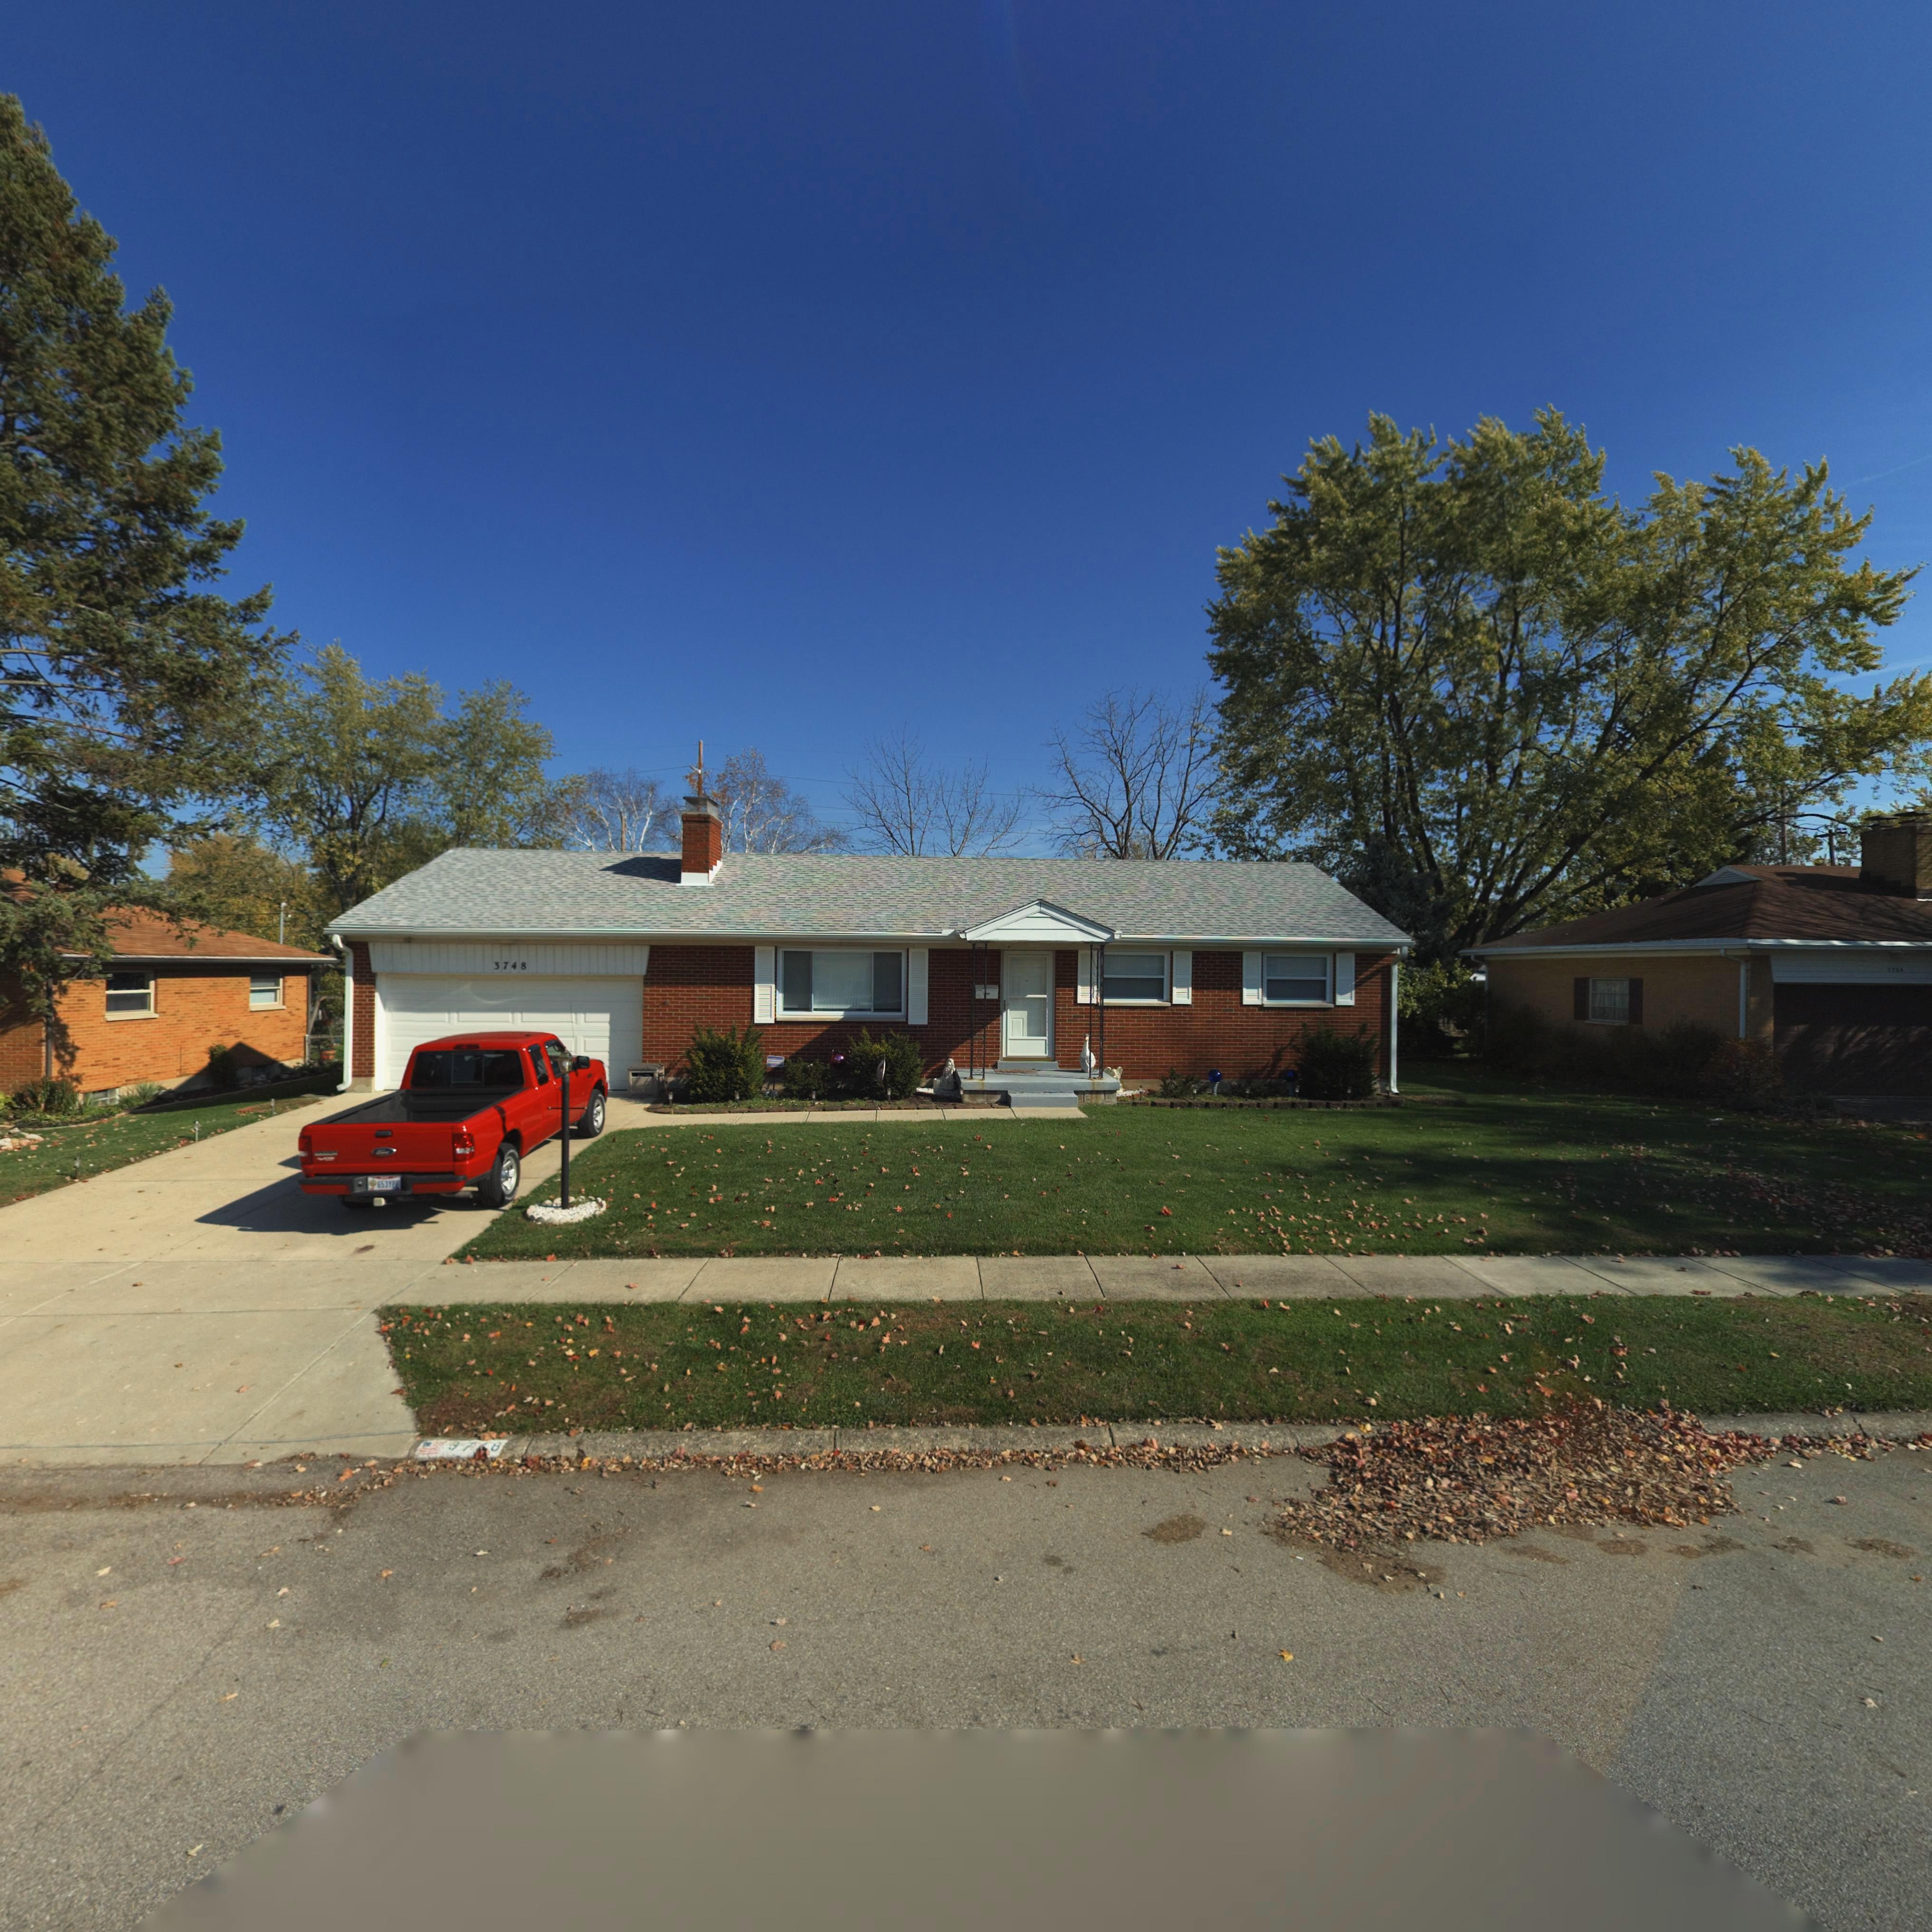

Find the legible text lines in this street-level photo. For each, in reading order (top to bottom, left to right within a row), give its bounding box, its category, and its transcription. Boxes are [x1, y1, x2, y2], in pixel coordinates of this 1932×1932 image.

[493, 960, 529, 972] StreetNumber: 3748
[445, 1438, 504, 1455] StreetNumber: ***8